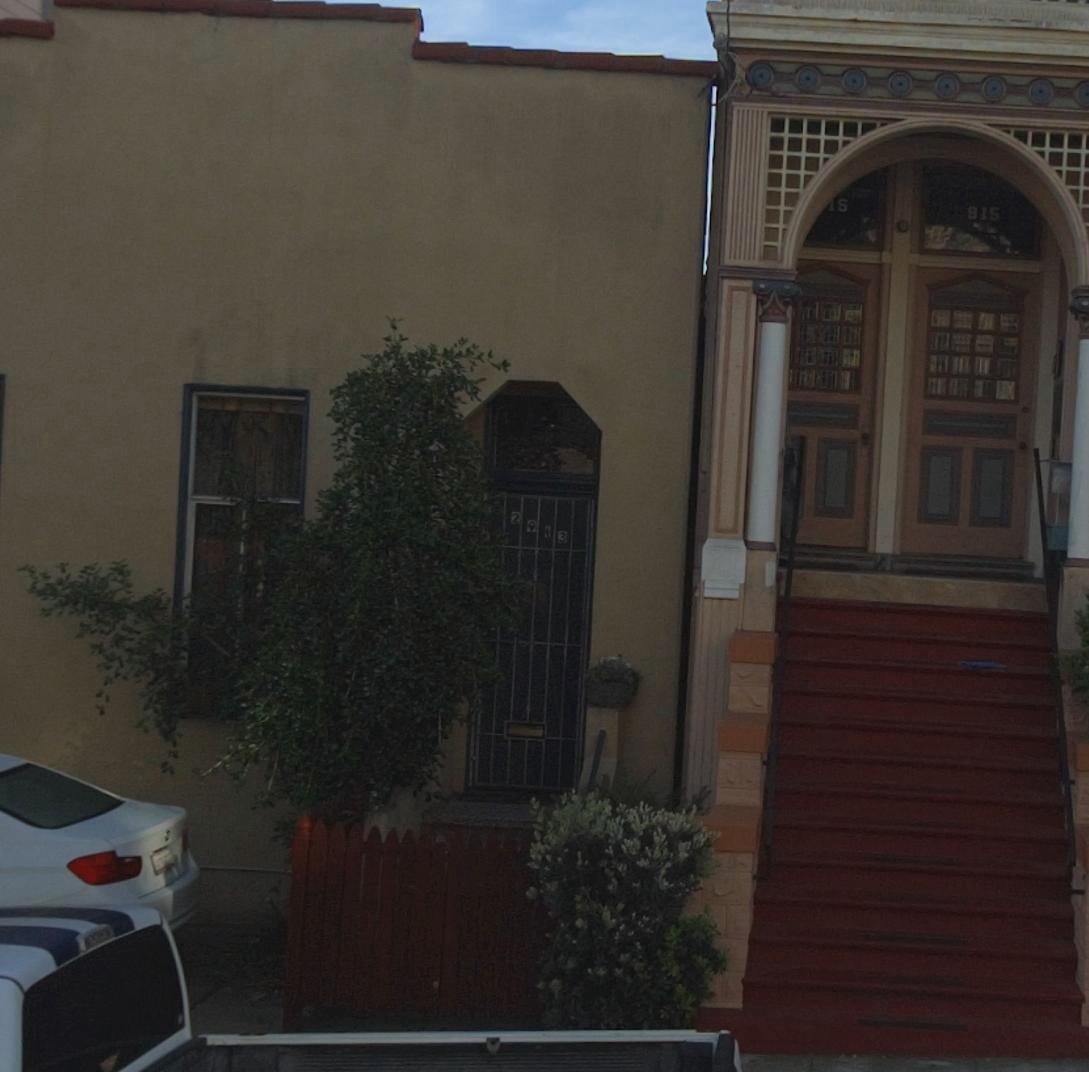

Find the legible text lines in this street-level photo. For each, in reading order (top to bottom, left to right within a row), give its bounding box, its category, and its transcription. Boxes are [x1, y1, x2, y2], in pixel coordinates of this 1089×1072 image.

[511, 511, 567, 544] StreetNumber: 29*3